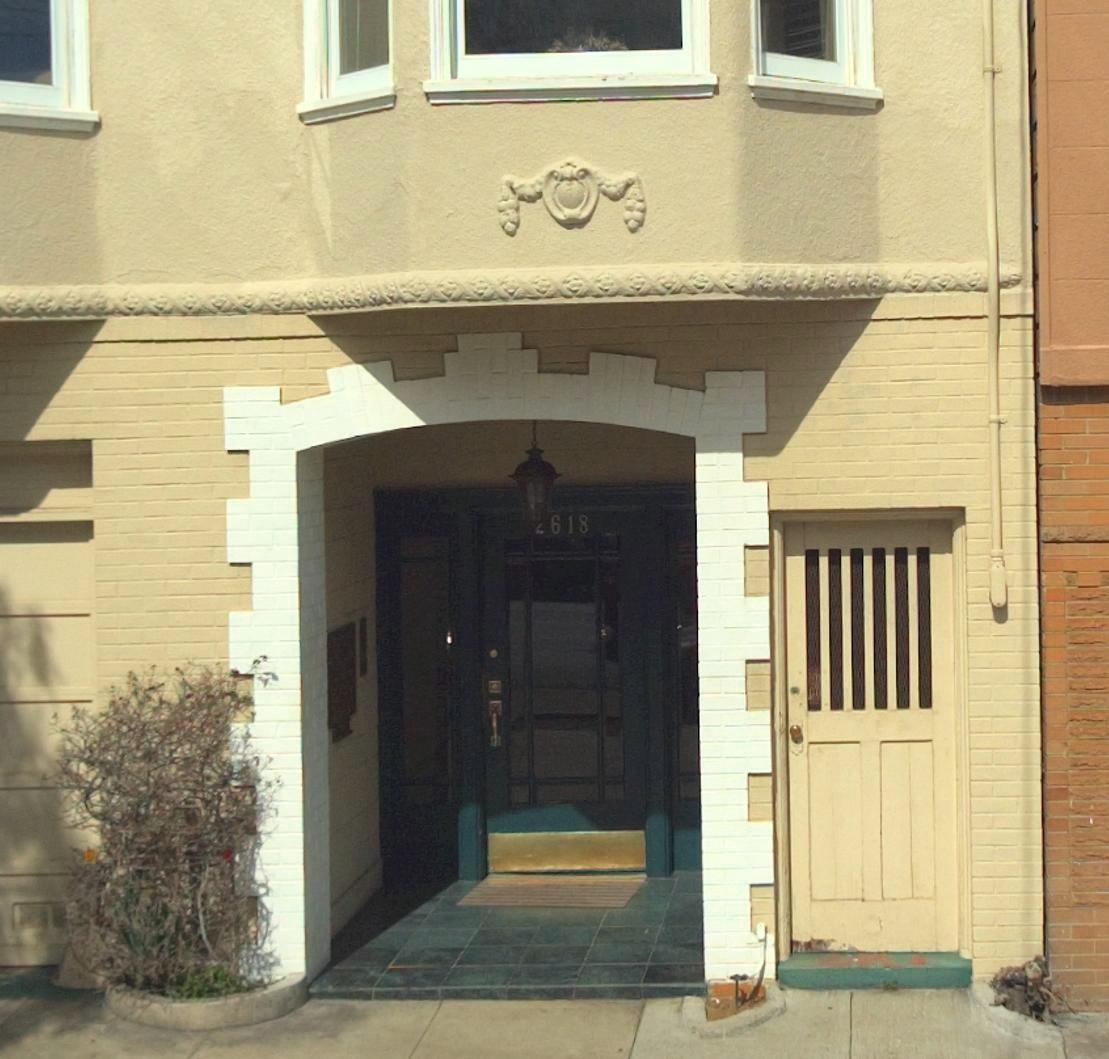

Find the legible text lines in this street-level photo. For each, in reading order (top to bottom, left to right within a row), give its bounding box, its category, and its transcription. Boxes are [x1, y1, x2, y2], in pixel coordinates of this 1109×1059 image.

[548, 512, 591, 537] StreetNumber: 618